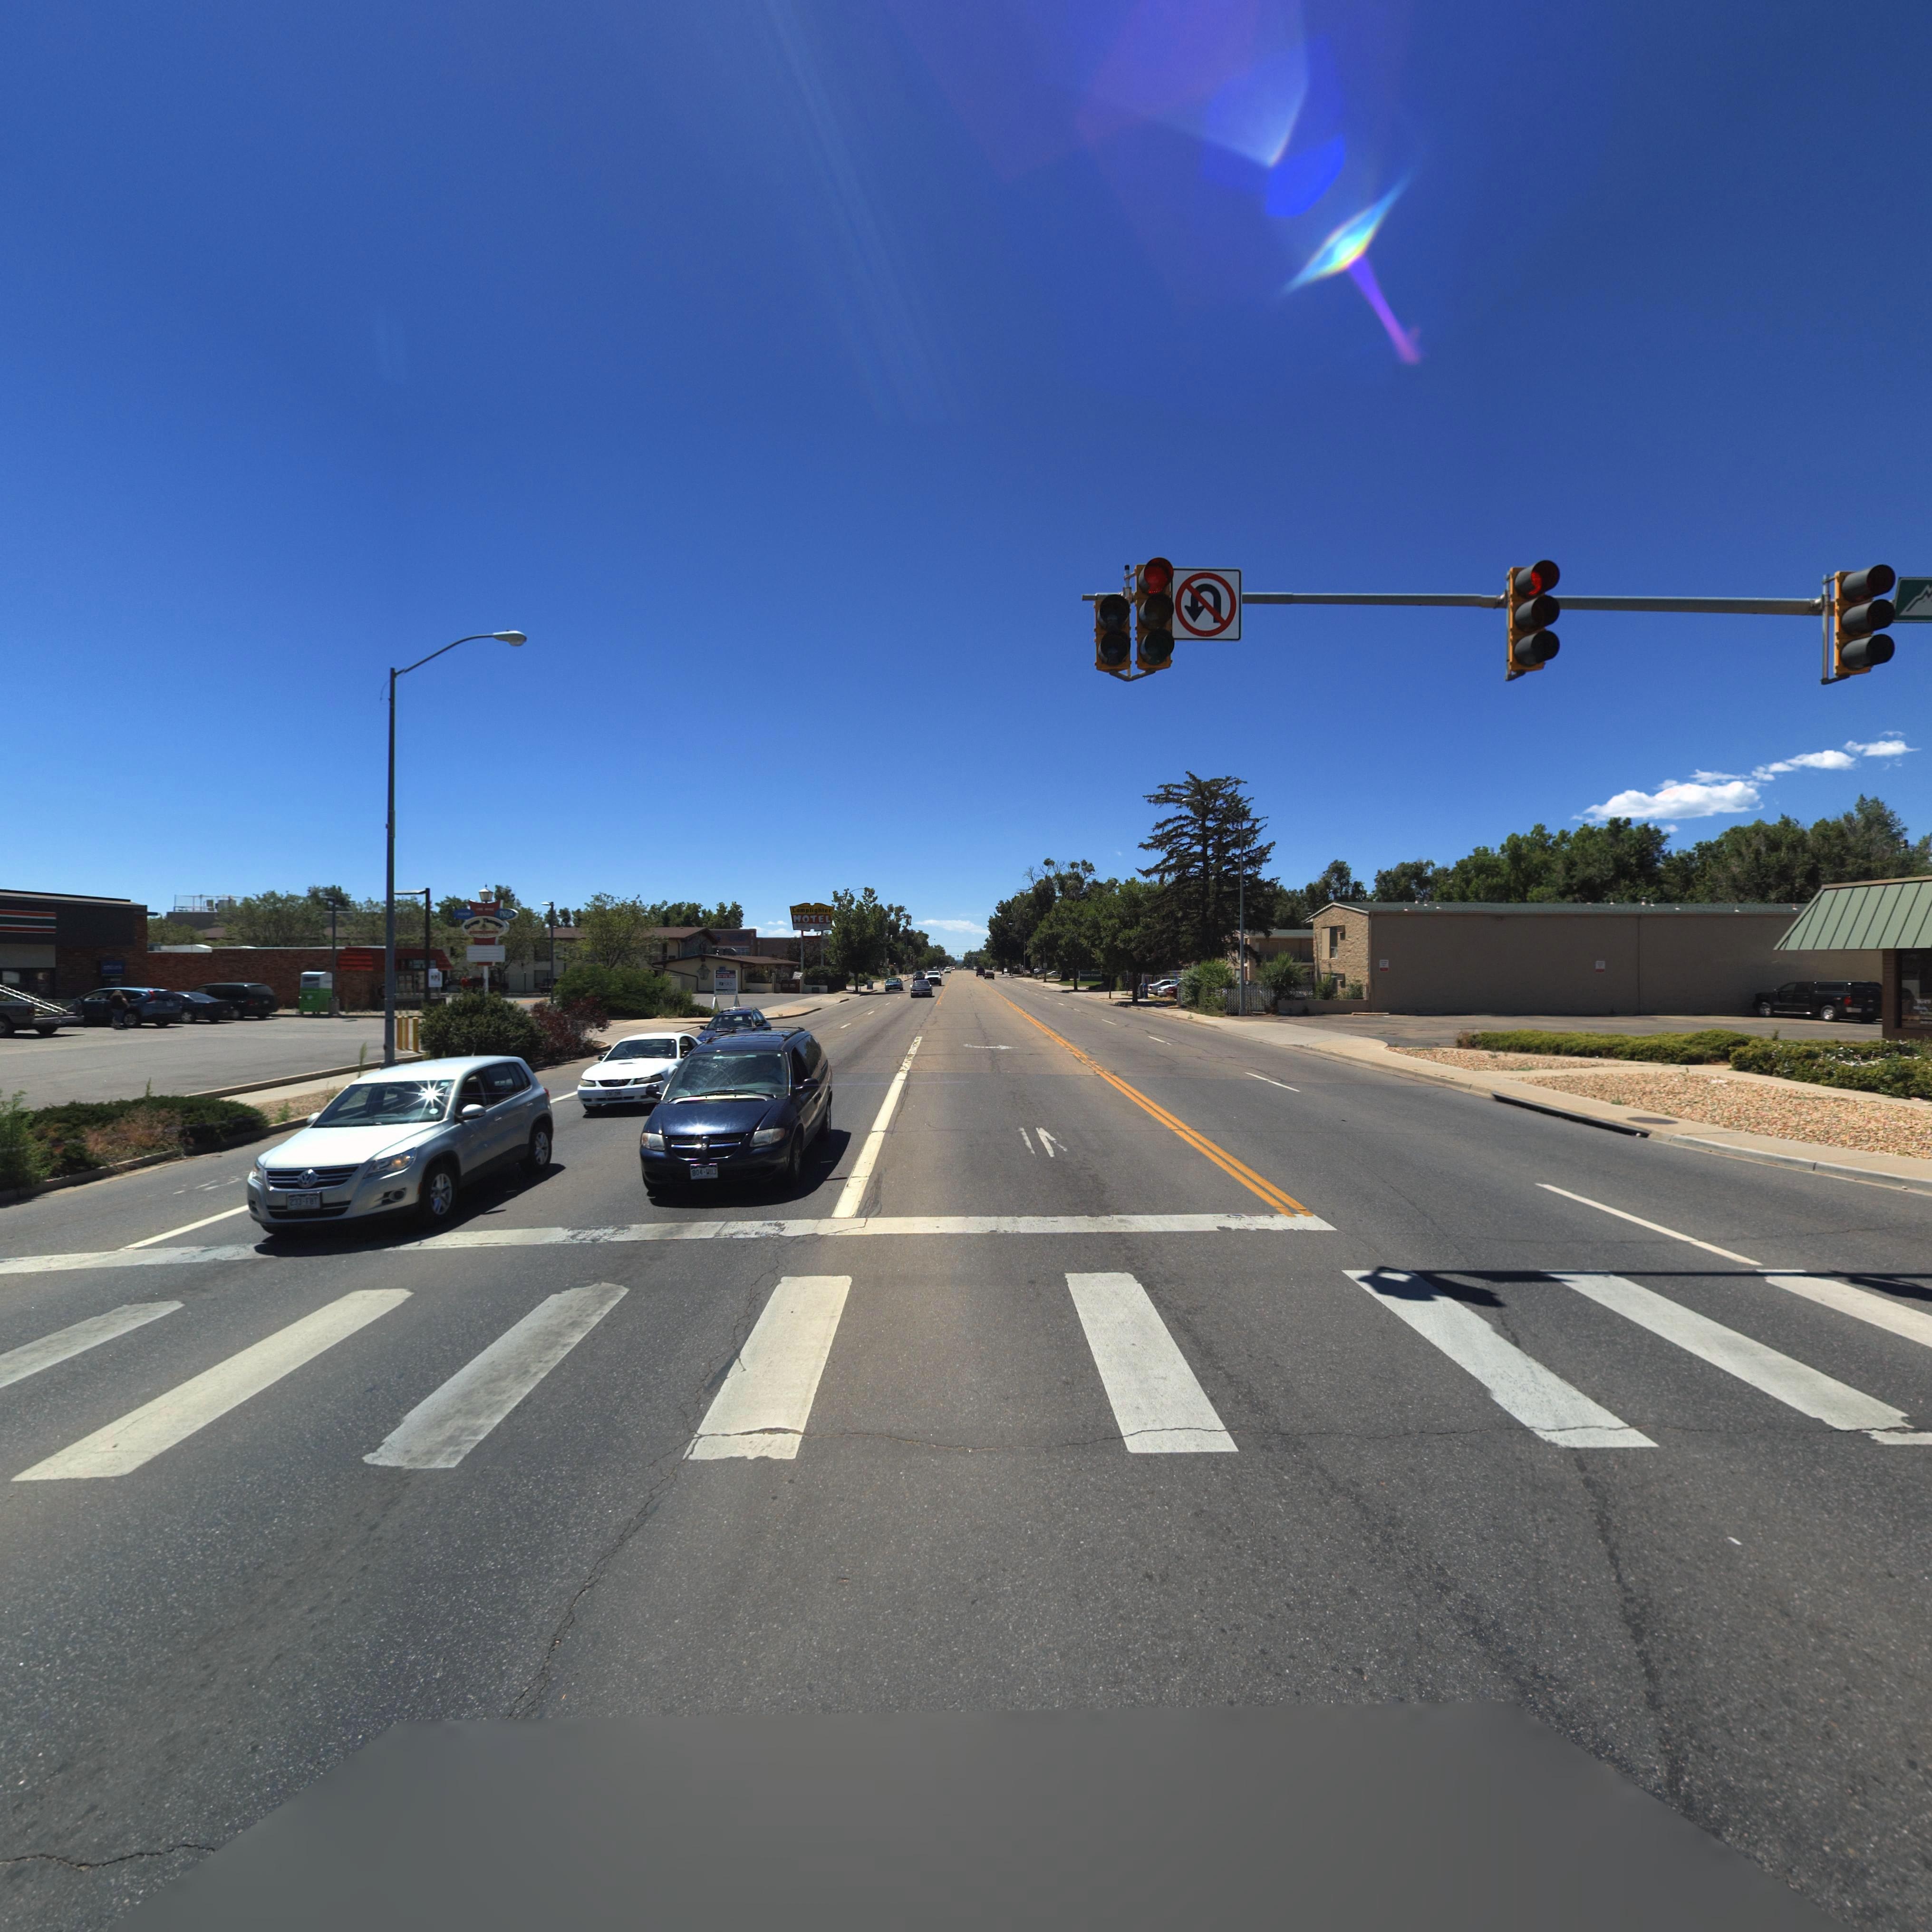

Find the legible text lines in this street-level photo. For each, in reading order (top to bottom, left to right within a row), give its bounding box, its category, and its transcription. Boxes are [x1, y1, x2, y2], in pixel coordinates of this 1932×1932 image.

[791, 906, 832, 914] BusinessName: Lamplighter
[793, 915, 831, 923] BusinessName: MOTEL
[464, 918, 503, 929] BusinessName: Group Therapy
[1916, 999, 1931, 1004] StreetNumber: 1**0